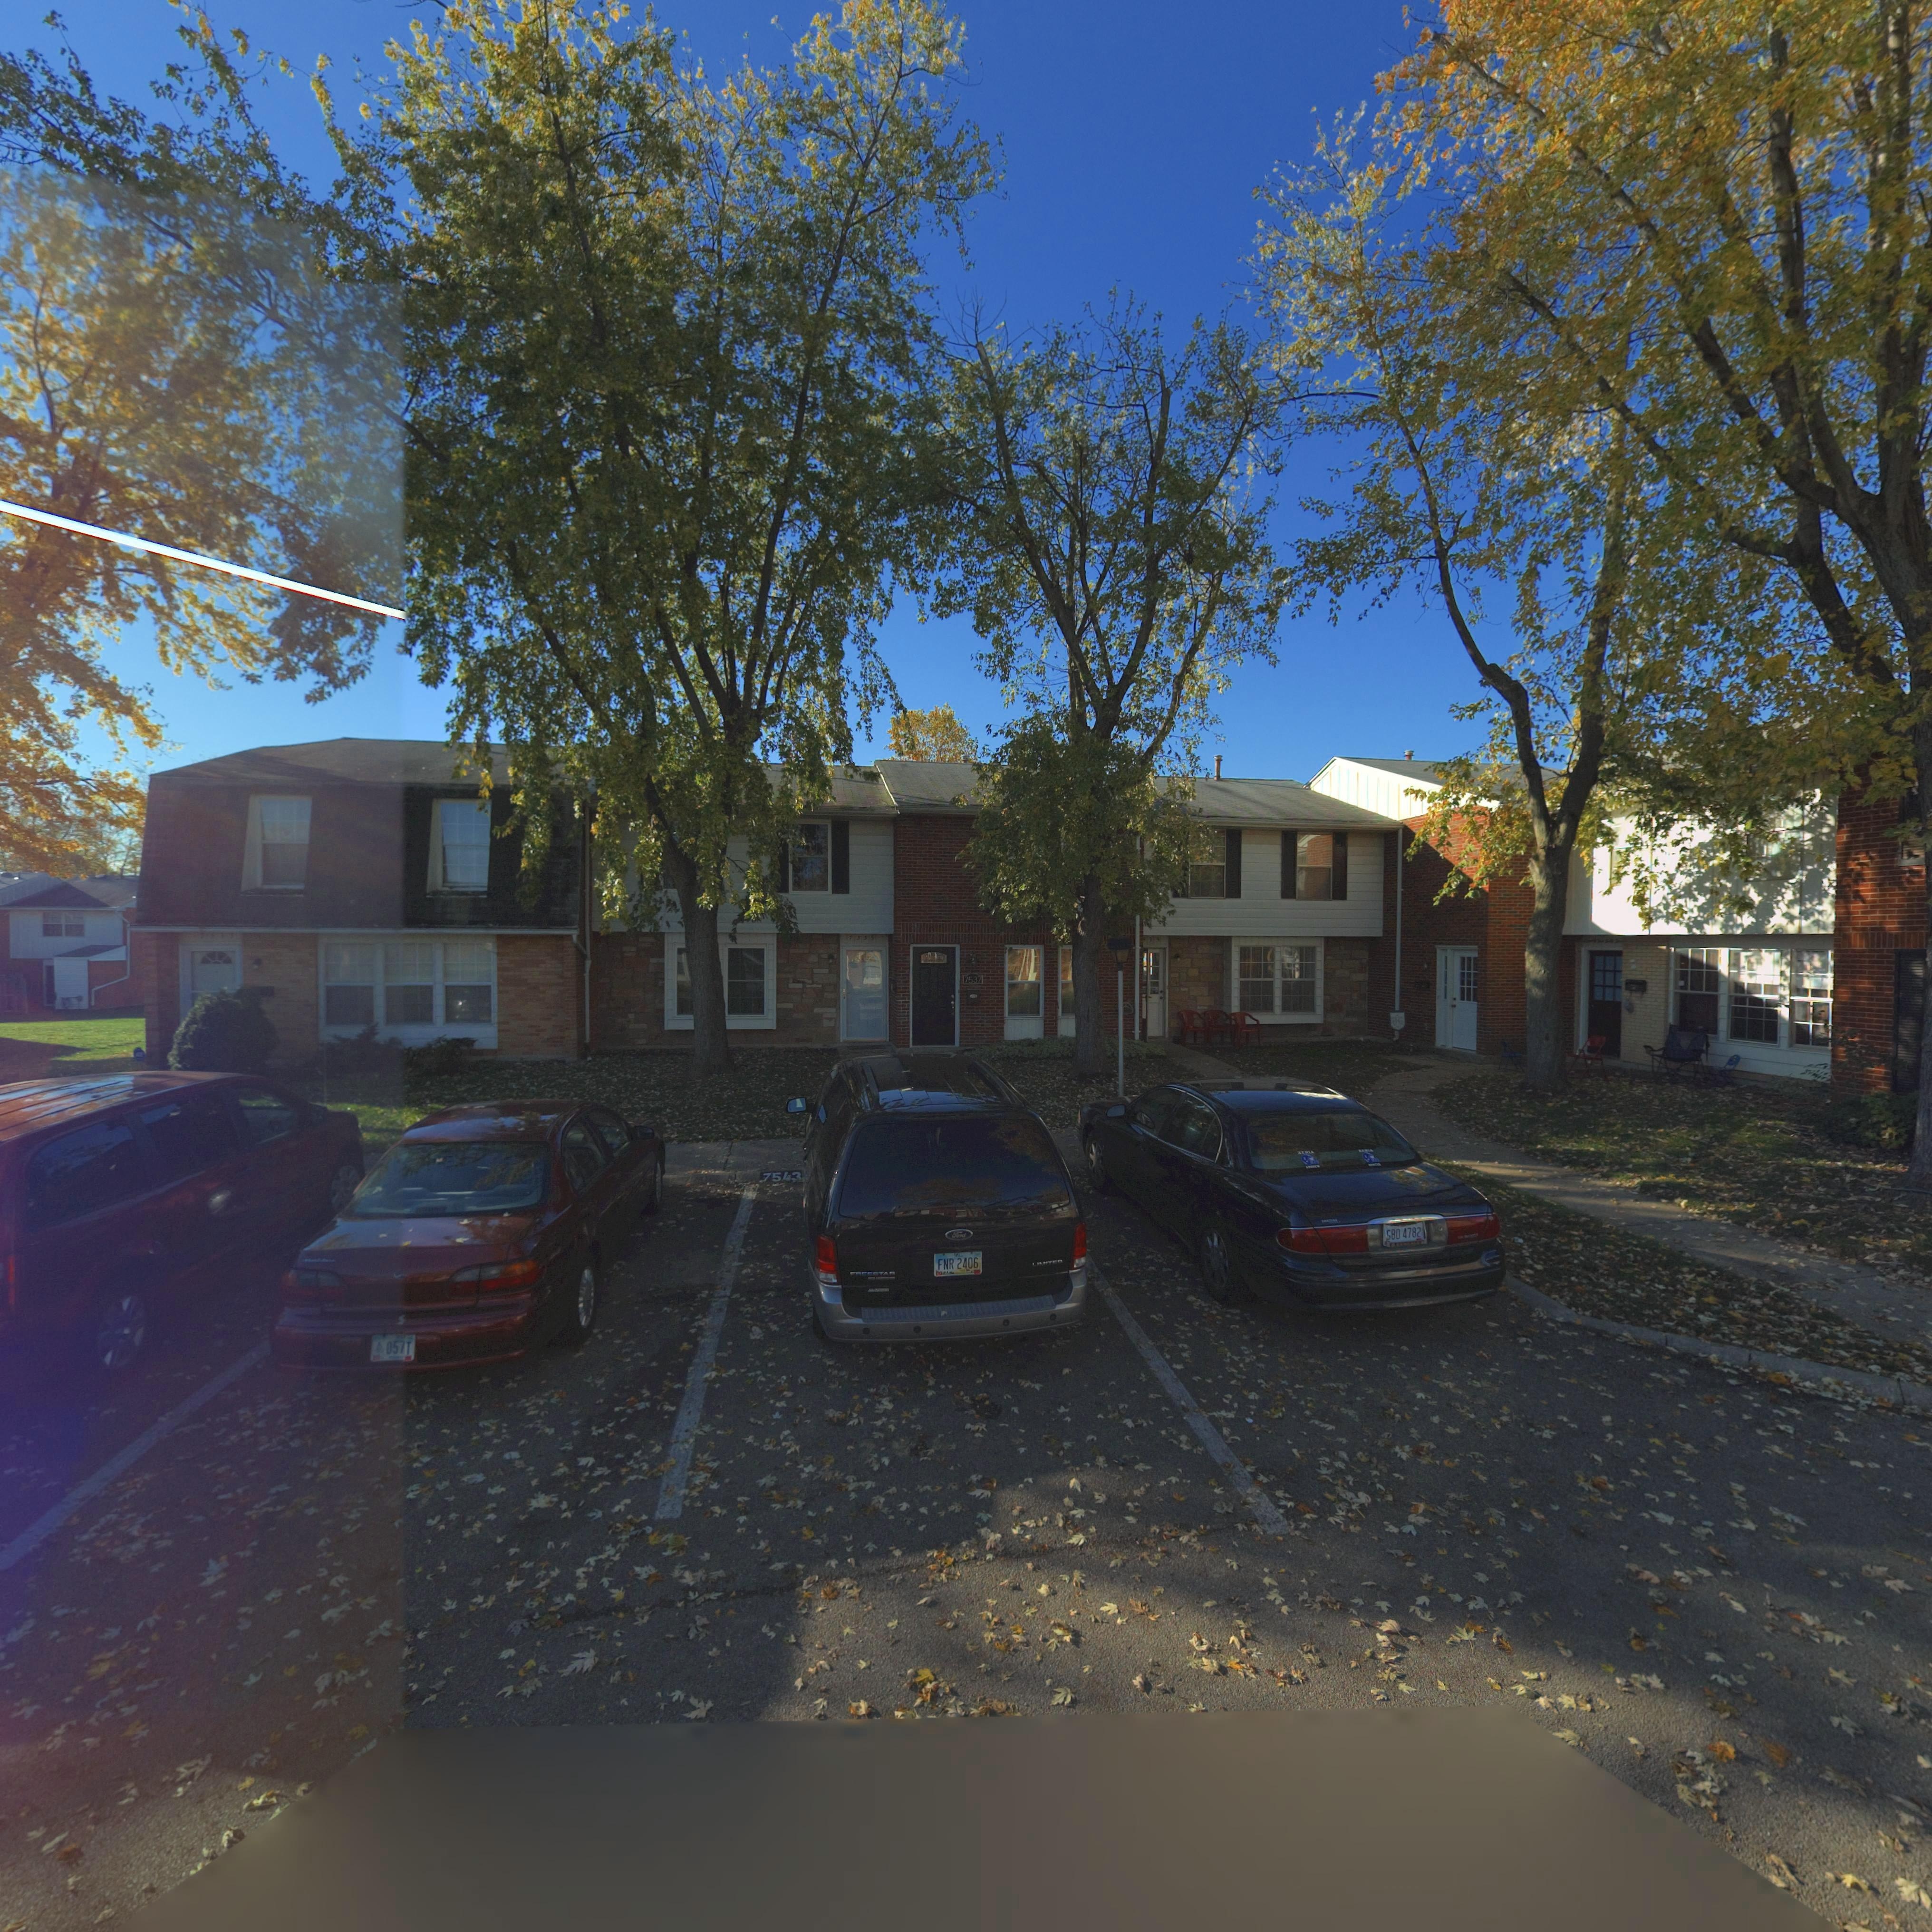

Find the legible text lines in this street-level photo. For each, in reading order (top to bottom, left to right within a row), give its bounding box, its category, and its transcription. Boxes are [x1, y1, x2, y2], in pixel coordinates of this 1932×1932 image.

[198, 932, 235, 940] StreetNumber: 7533
[849, 935, 875, 941] StreetNumber: 7535
[1142, 937, 1160, 943] StreetNumber: 579
[964, 976, 983, 984] StreetNumber: 7537
[763, 1171, 802, 1182] StreetNumber: 7543